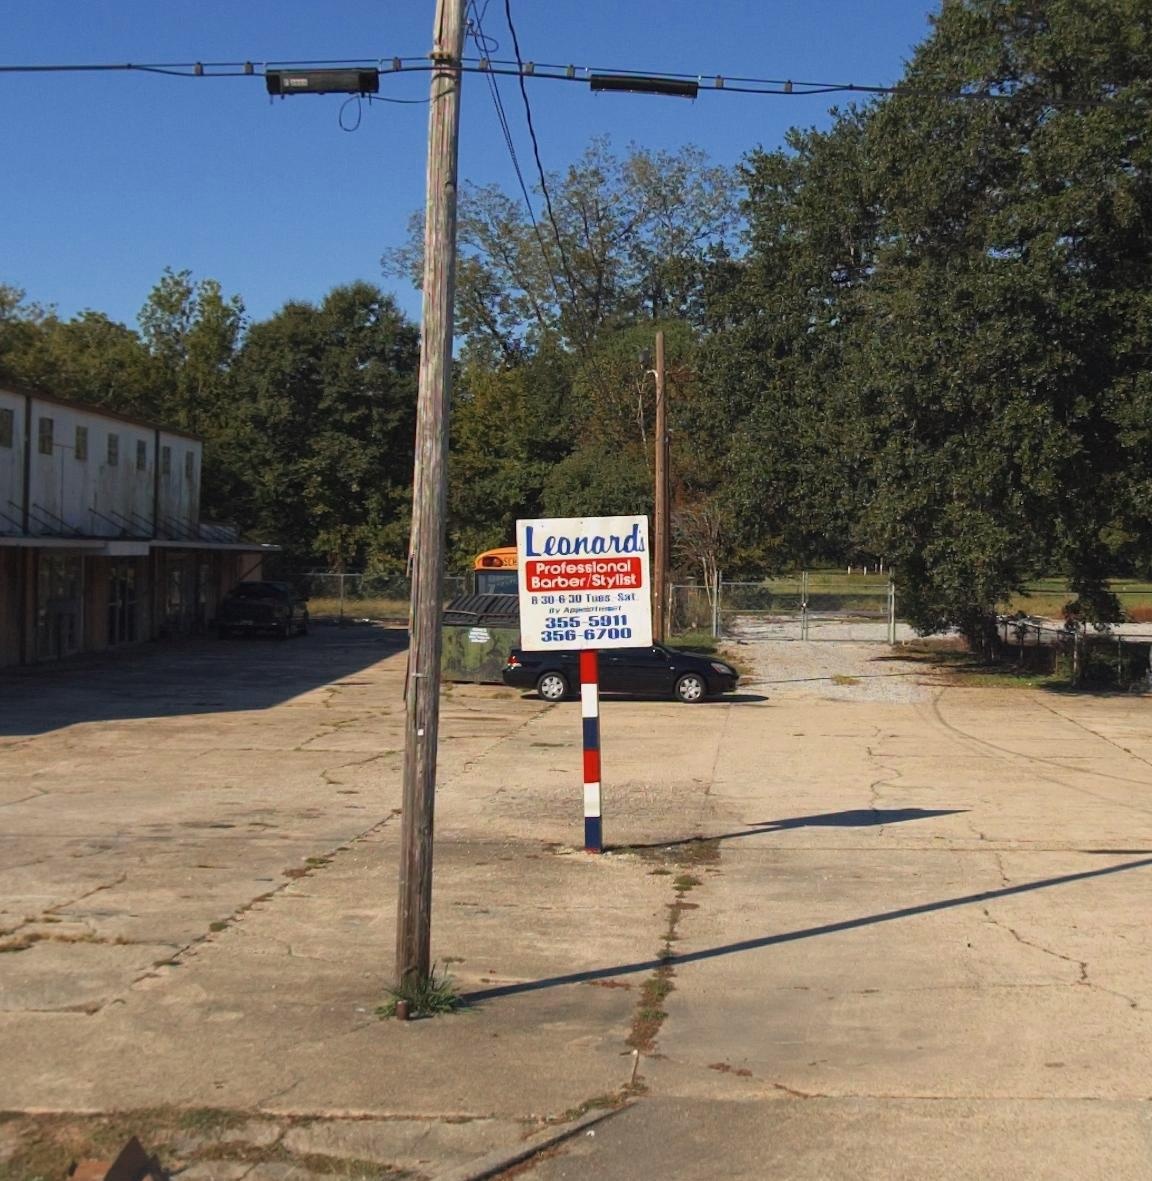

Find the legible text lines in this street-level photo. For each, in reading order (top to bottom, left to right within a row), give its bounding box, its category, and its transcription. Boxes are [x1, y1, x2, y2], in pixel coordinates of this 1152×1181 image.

[523, 521, 648, 560] BusinessName: Leonard's
[534, 557, 633, 577] BusinessName: Professional
[529, 570, 640, 592] BusinessName: Barber/Stylist
[527, 590, 641, 608] None: 8:30-6:30 Tues-Sat.
[542, 611, 630, 631] None: 355-5911
[538, 623, 634, 645] None: 356-6700